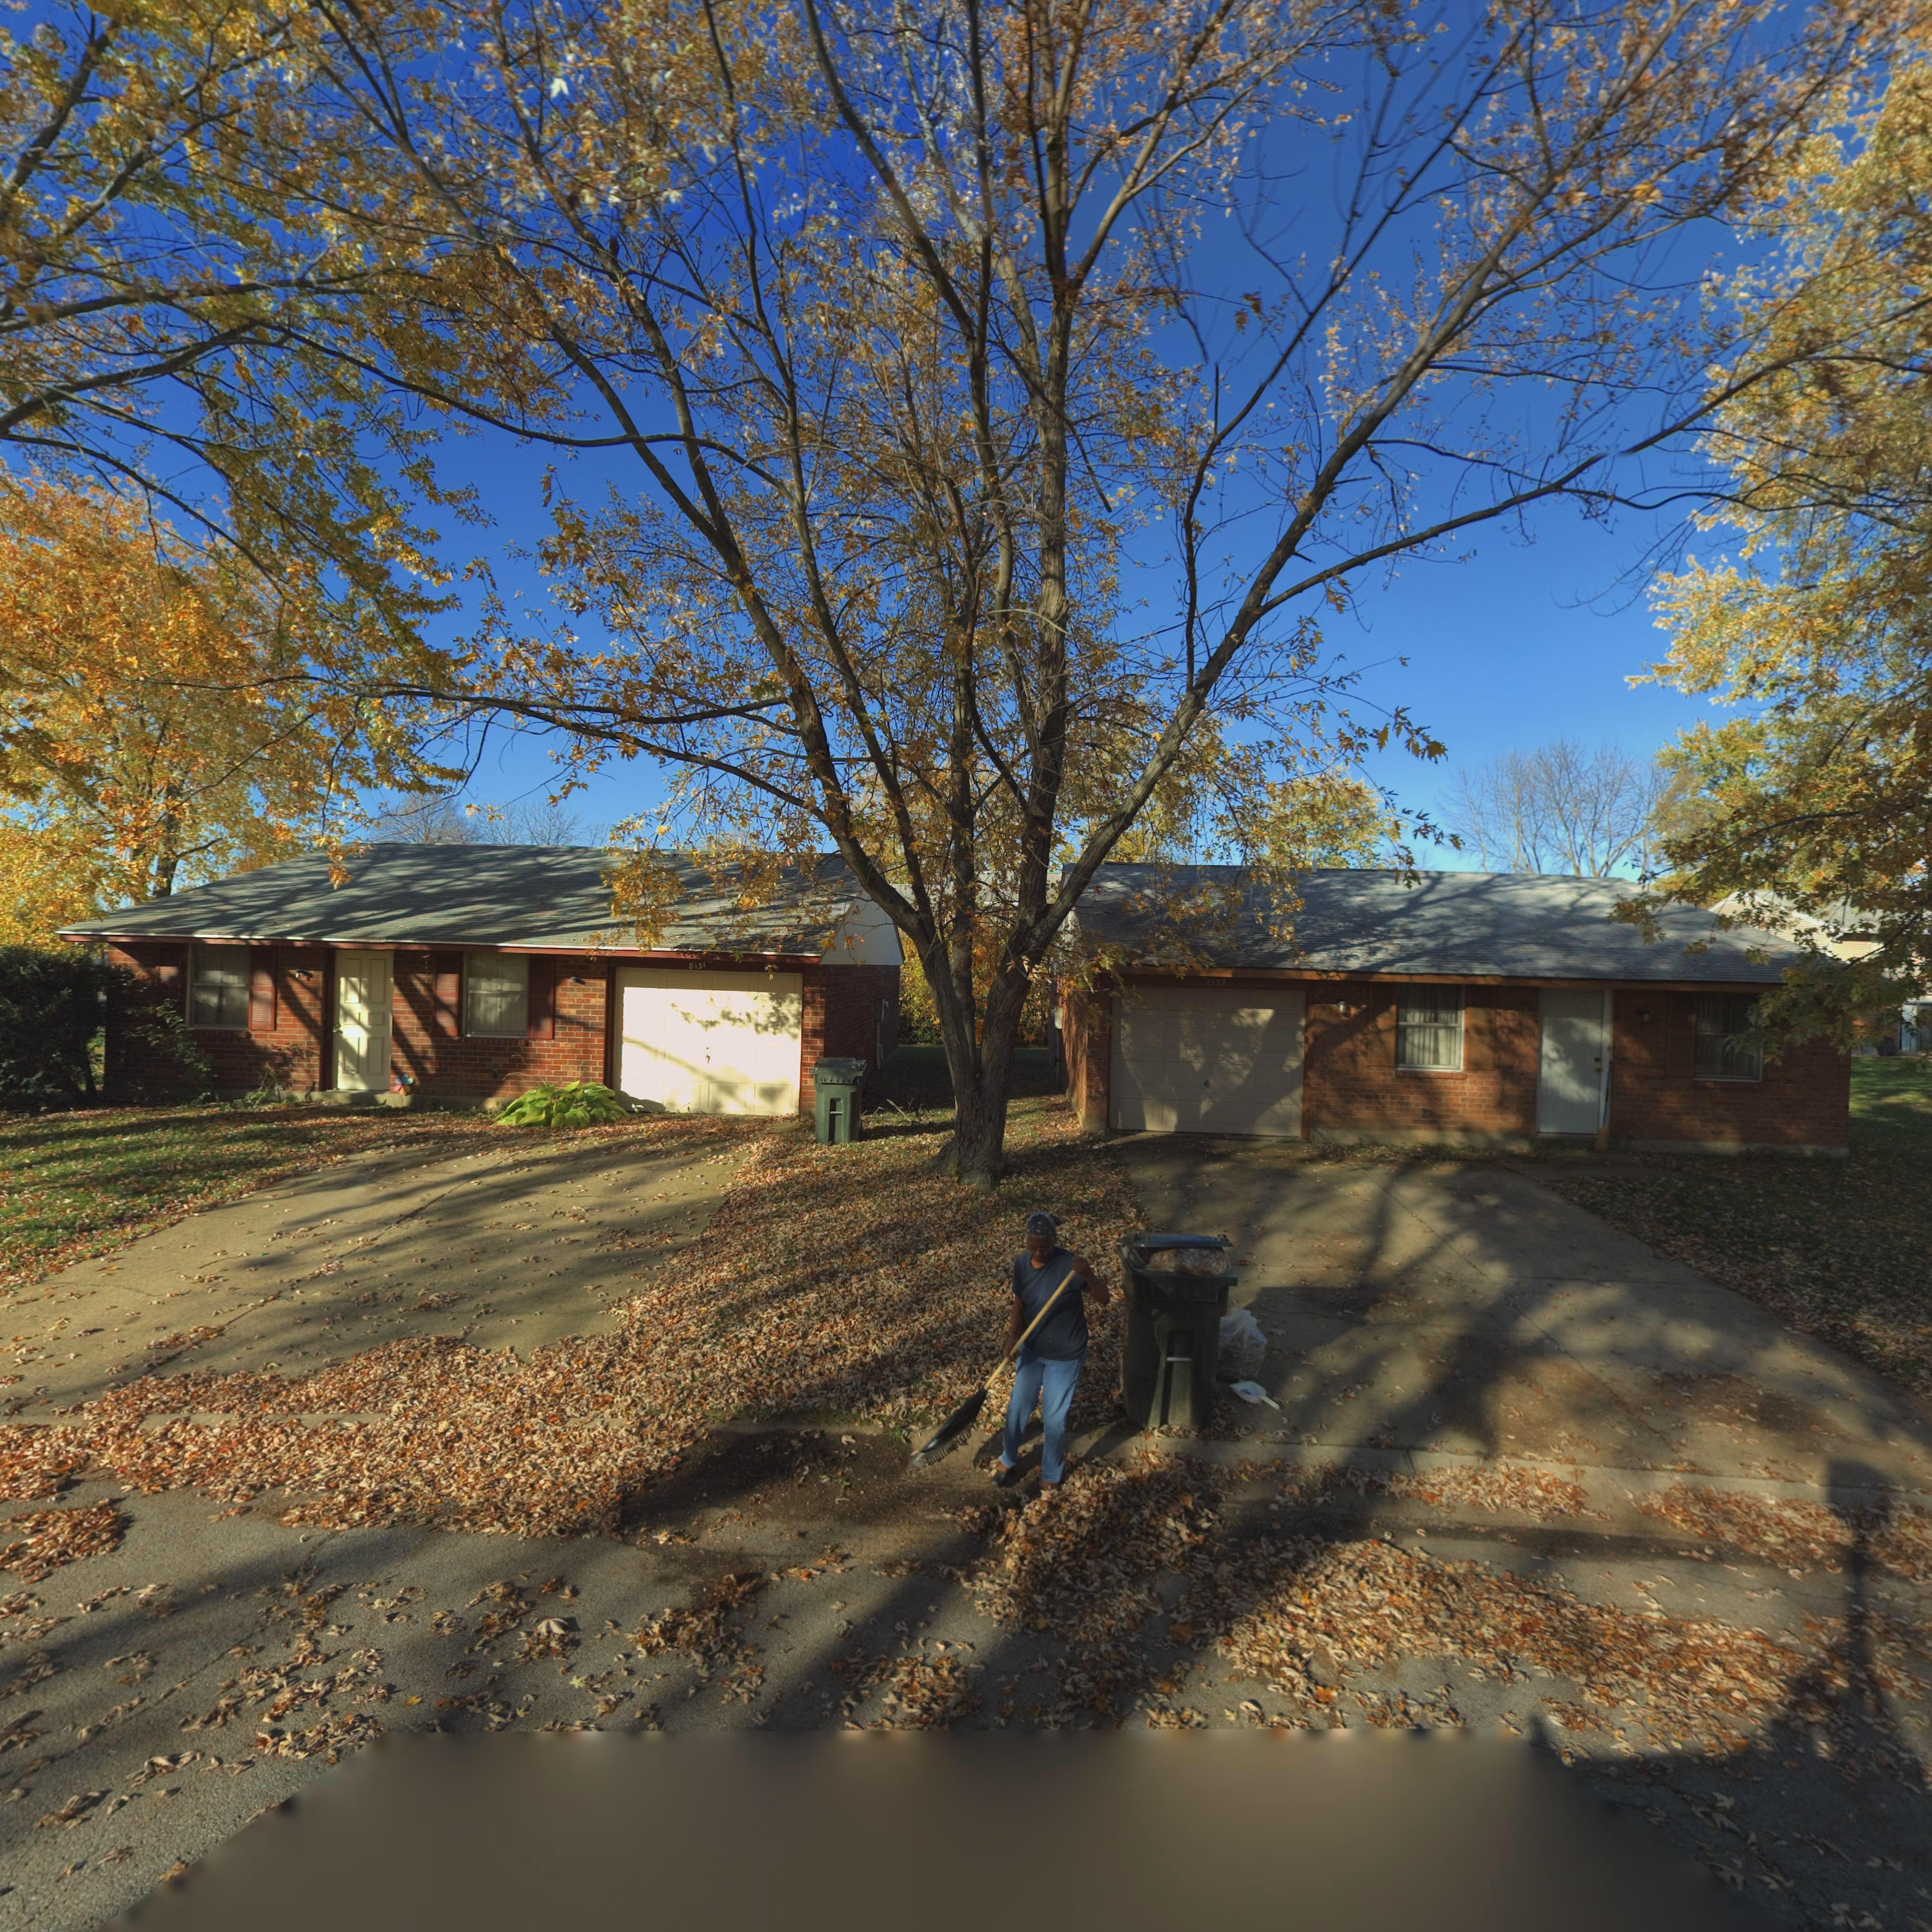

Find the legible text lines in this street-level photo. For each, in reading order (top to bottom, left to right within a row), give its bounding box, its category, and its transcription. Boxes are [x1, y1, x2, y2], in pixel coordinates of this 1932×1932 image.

[688, 960, 706, 970] StreetNumber: 8131
[1206, 978, 1227, 986] StreetNumber: 8139